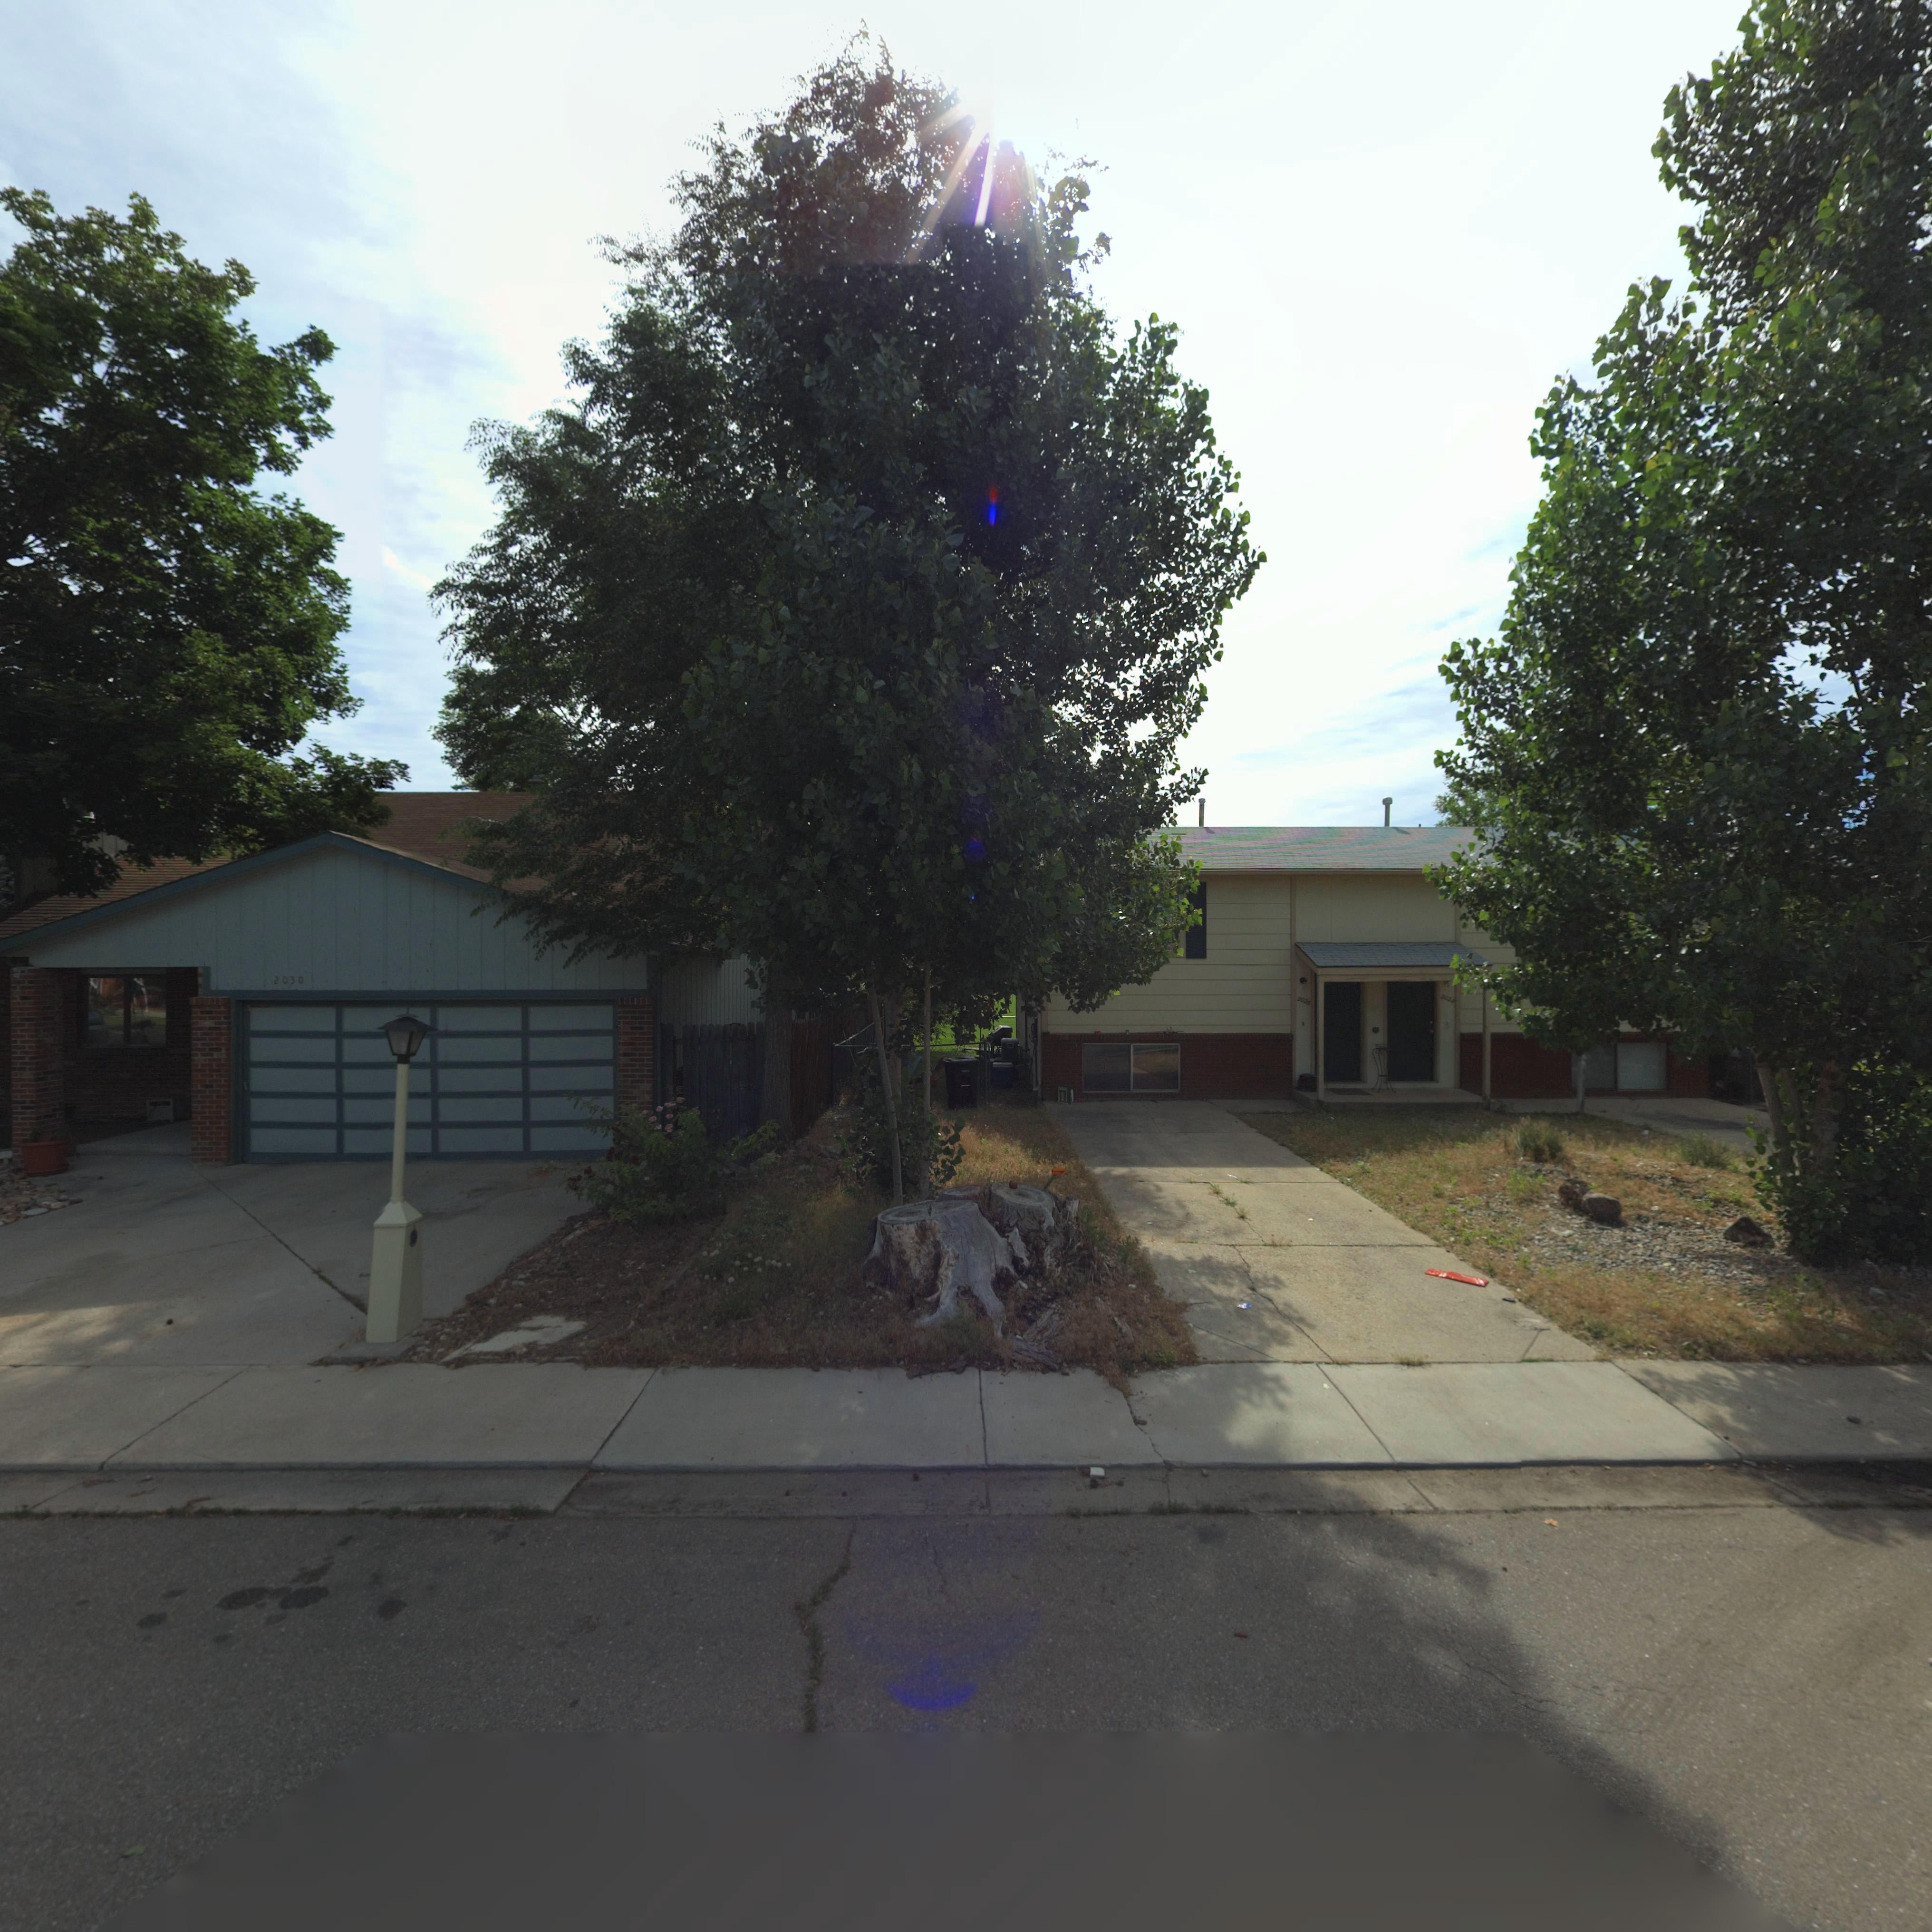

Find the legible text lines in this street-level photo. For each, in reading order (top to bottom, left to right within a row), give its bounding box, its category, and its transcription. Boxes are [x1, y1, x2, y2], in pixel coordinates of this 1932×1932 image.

[273, 975, 304, 985] StreetNumber: 2030
[1296, 995, 1312, 1006] StreetNumber: 2026
[1440, 993, 1456, 1005] StreetNumber: 2024